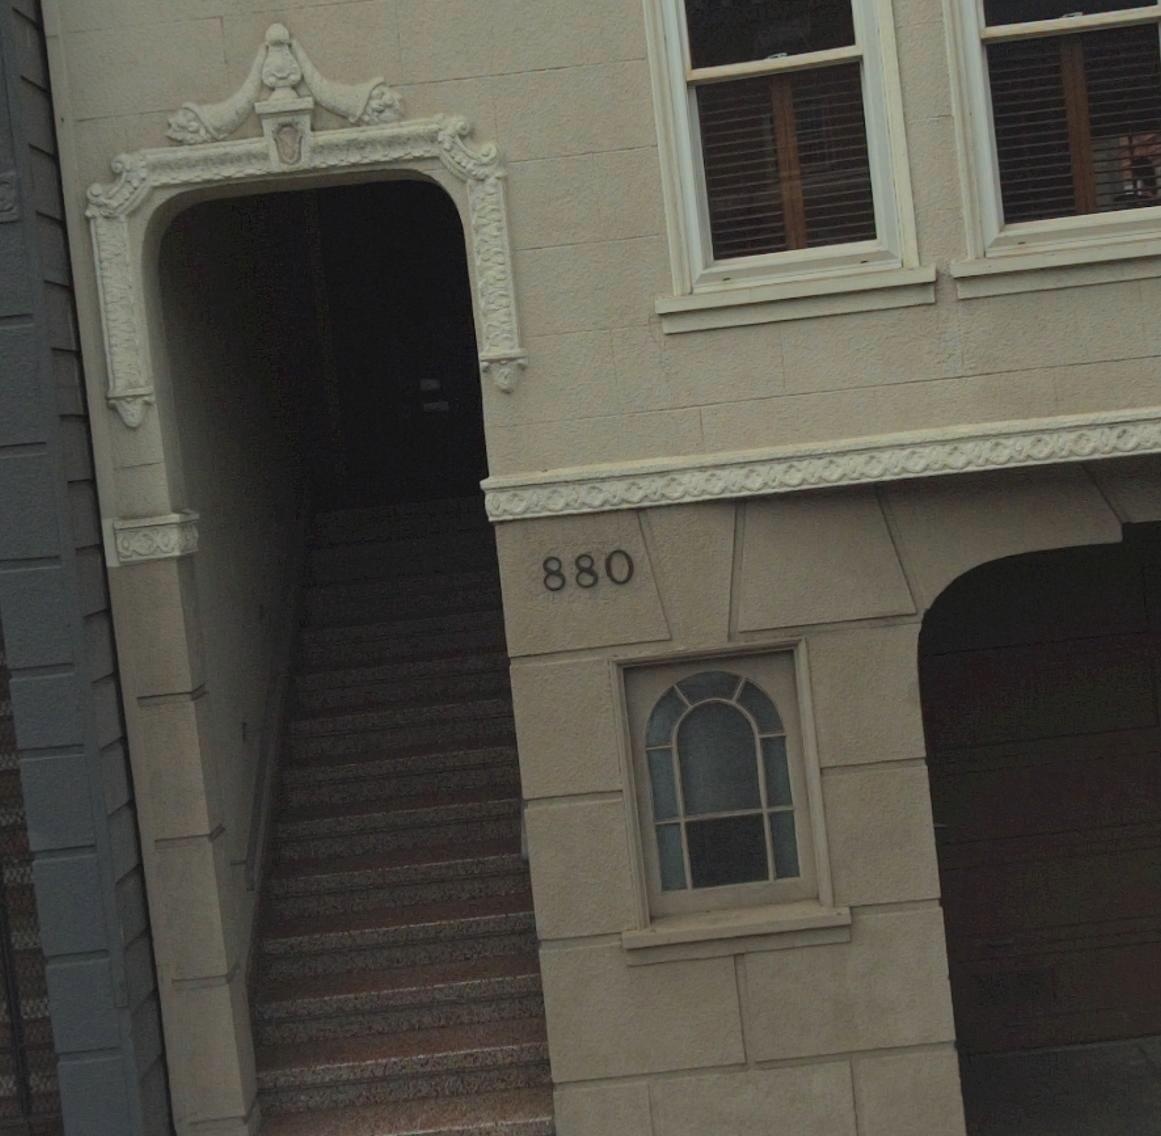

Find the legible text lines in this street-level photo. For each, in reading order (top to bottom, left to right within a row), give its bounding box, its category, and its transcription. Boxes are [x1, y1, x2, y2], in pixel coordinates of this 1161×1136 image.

[540, 546, 637, 594] StreetNumber: 880